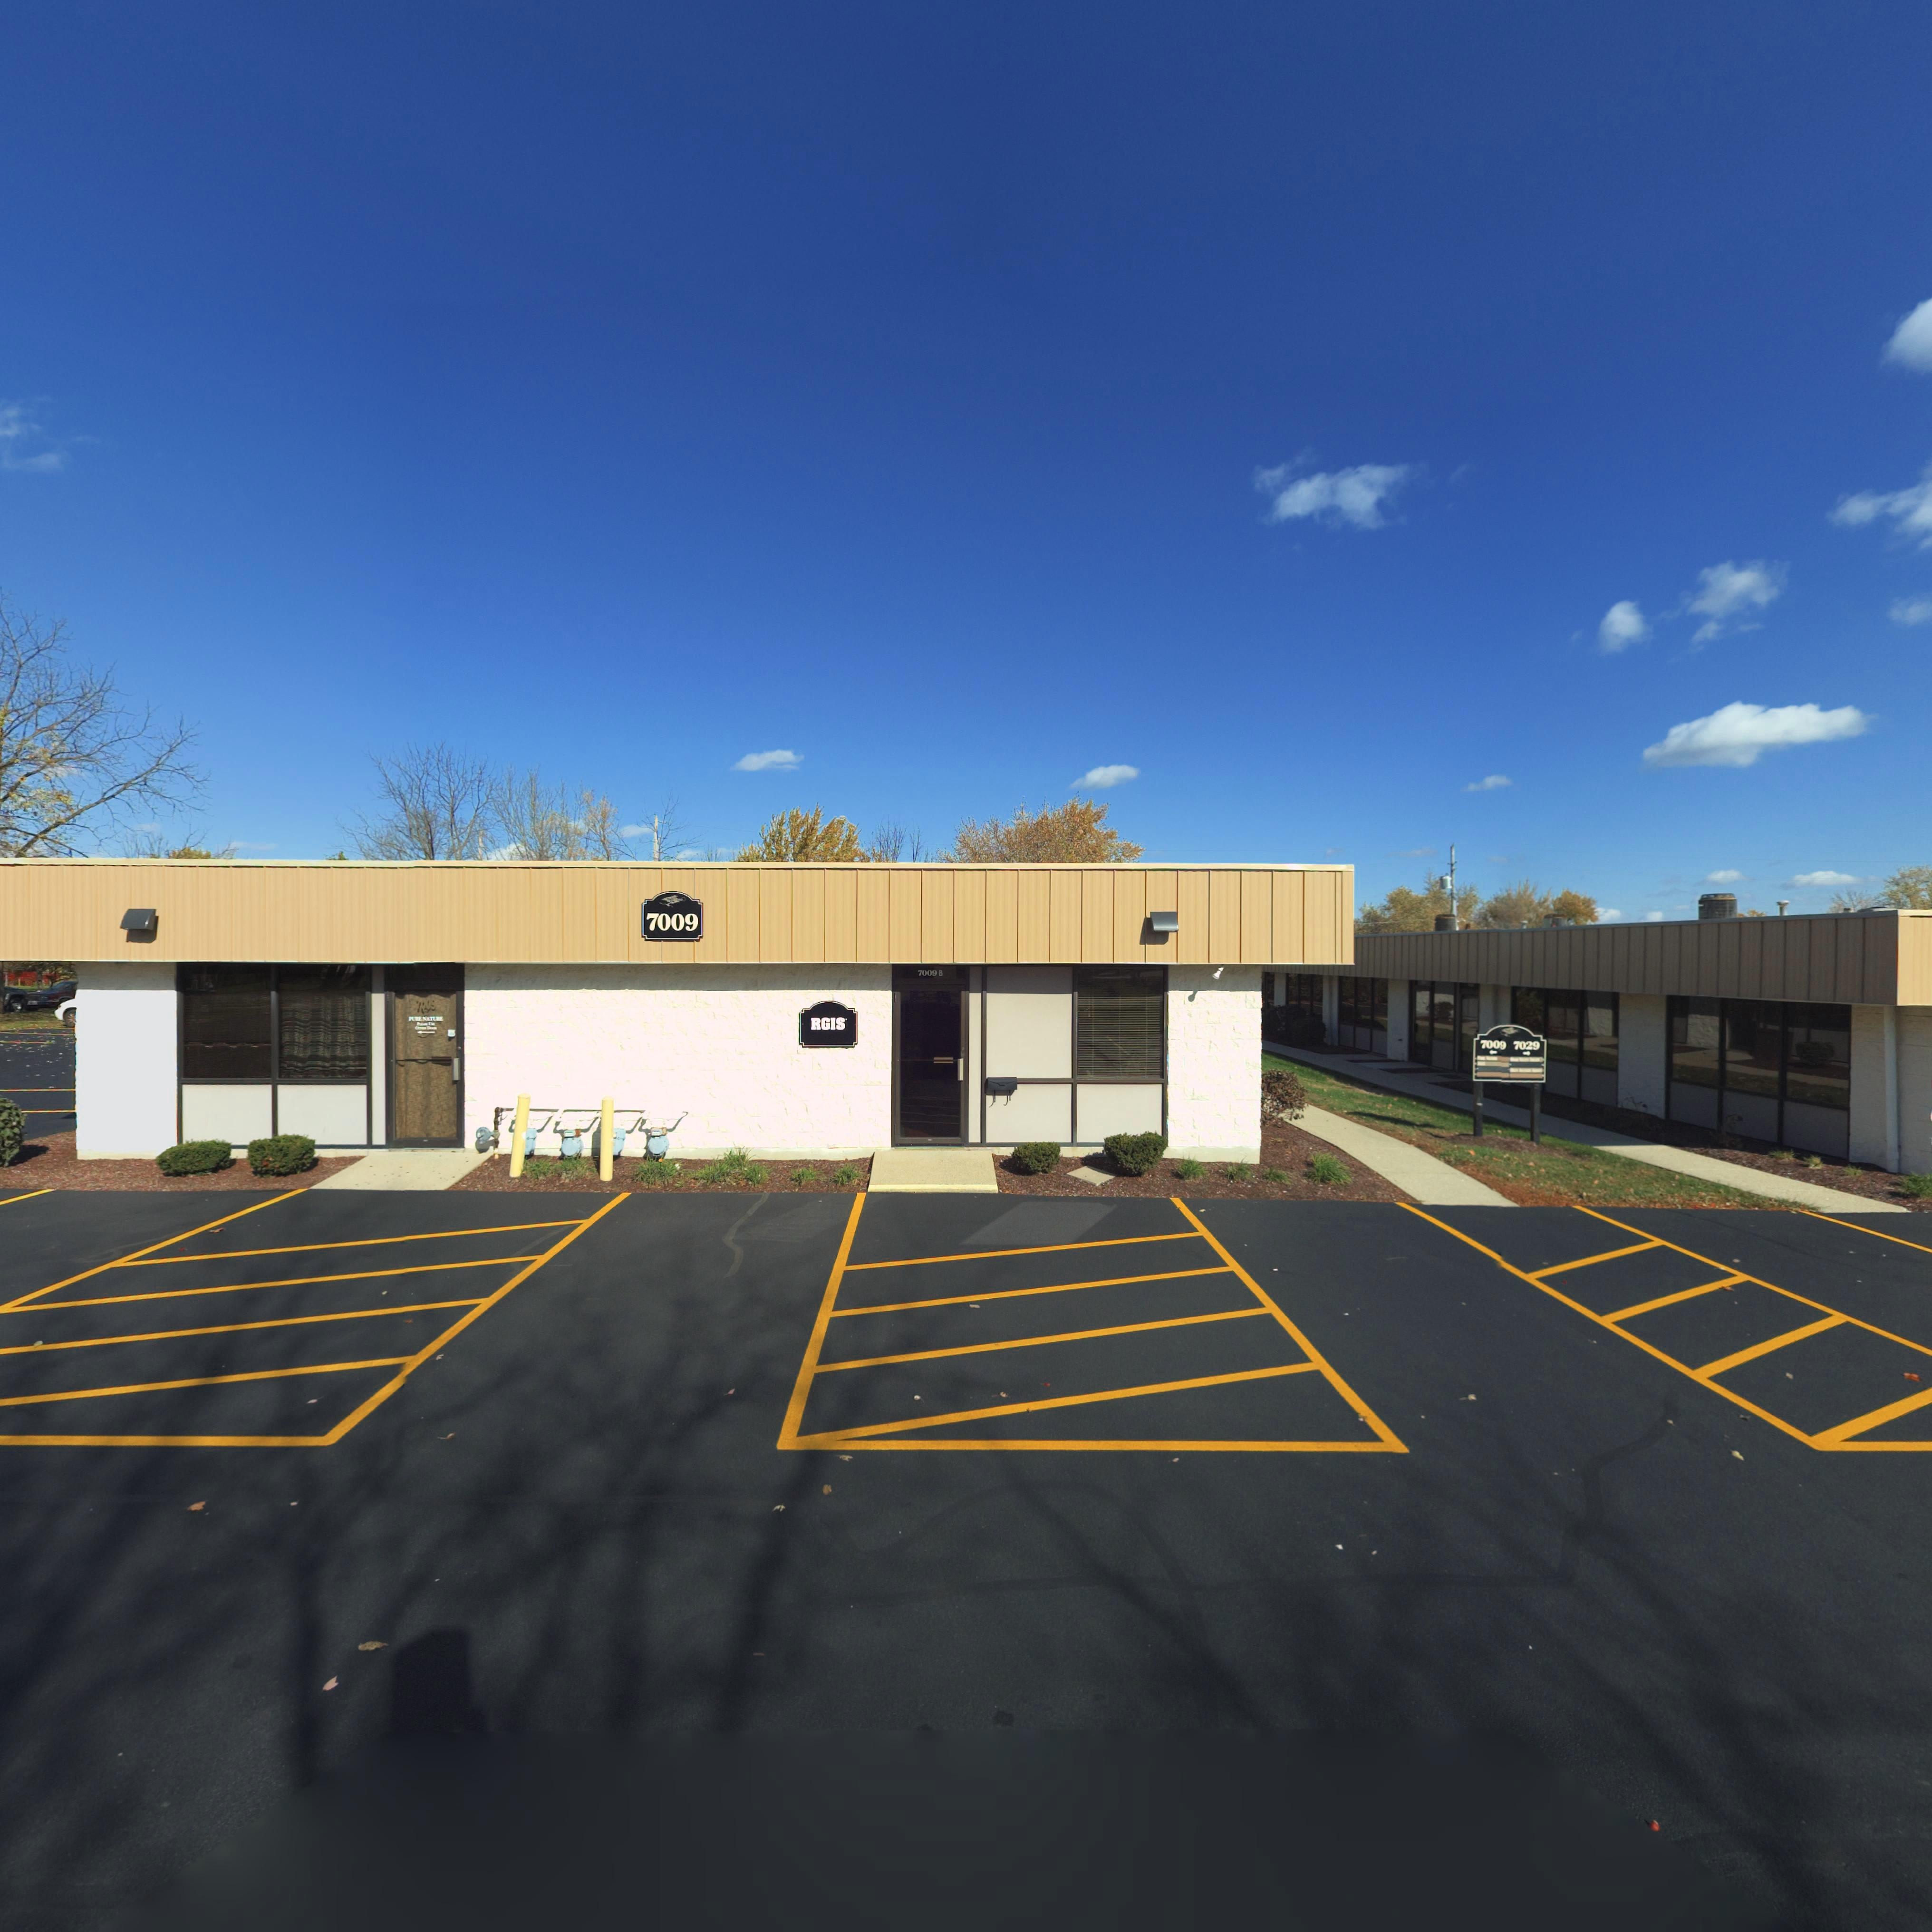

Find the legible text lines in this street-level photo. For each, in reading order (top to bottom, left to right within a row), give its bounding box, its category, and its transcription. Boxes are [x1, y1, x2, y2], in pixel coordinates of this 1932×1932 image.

[645, 911, 700, 933] StreetNumber: 7009
[916, 968, 944, 978] StreetNumber: 7009 B
[414, 996, 438, 1014] StreetNumber: *009
[1479, 1039, 1508, 1051] StreetNumber: 700*
[1511, 1039, 1543, 1052] StreetNumber: 7029